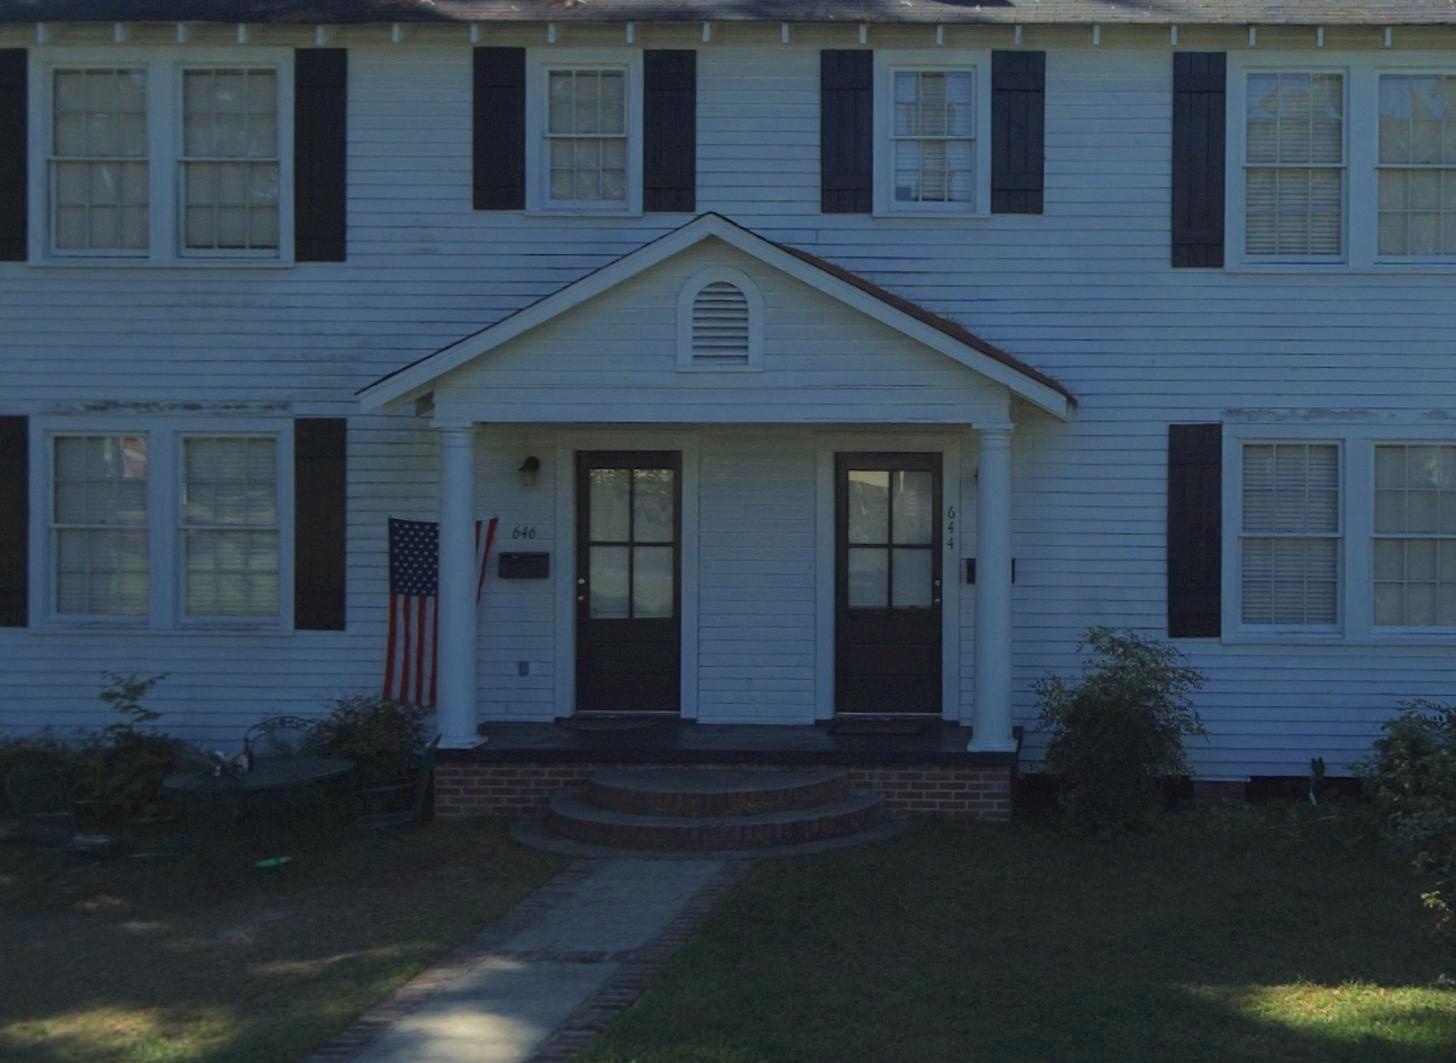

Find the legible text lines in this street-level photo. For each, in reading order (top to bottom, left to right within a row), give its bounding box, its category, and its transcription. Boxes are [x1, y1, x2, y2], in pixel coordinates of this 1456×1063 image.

[510, 523, 539, 541] StreetNumber: 646
[946, 504, 956, 551] StreetNumber: 644